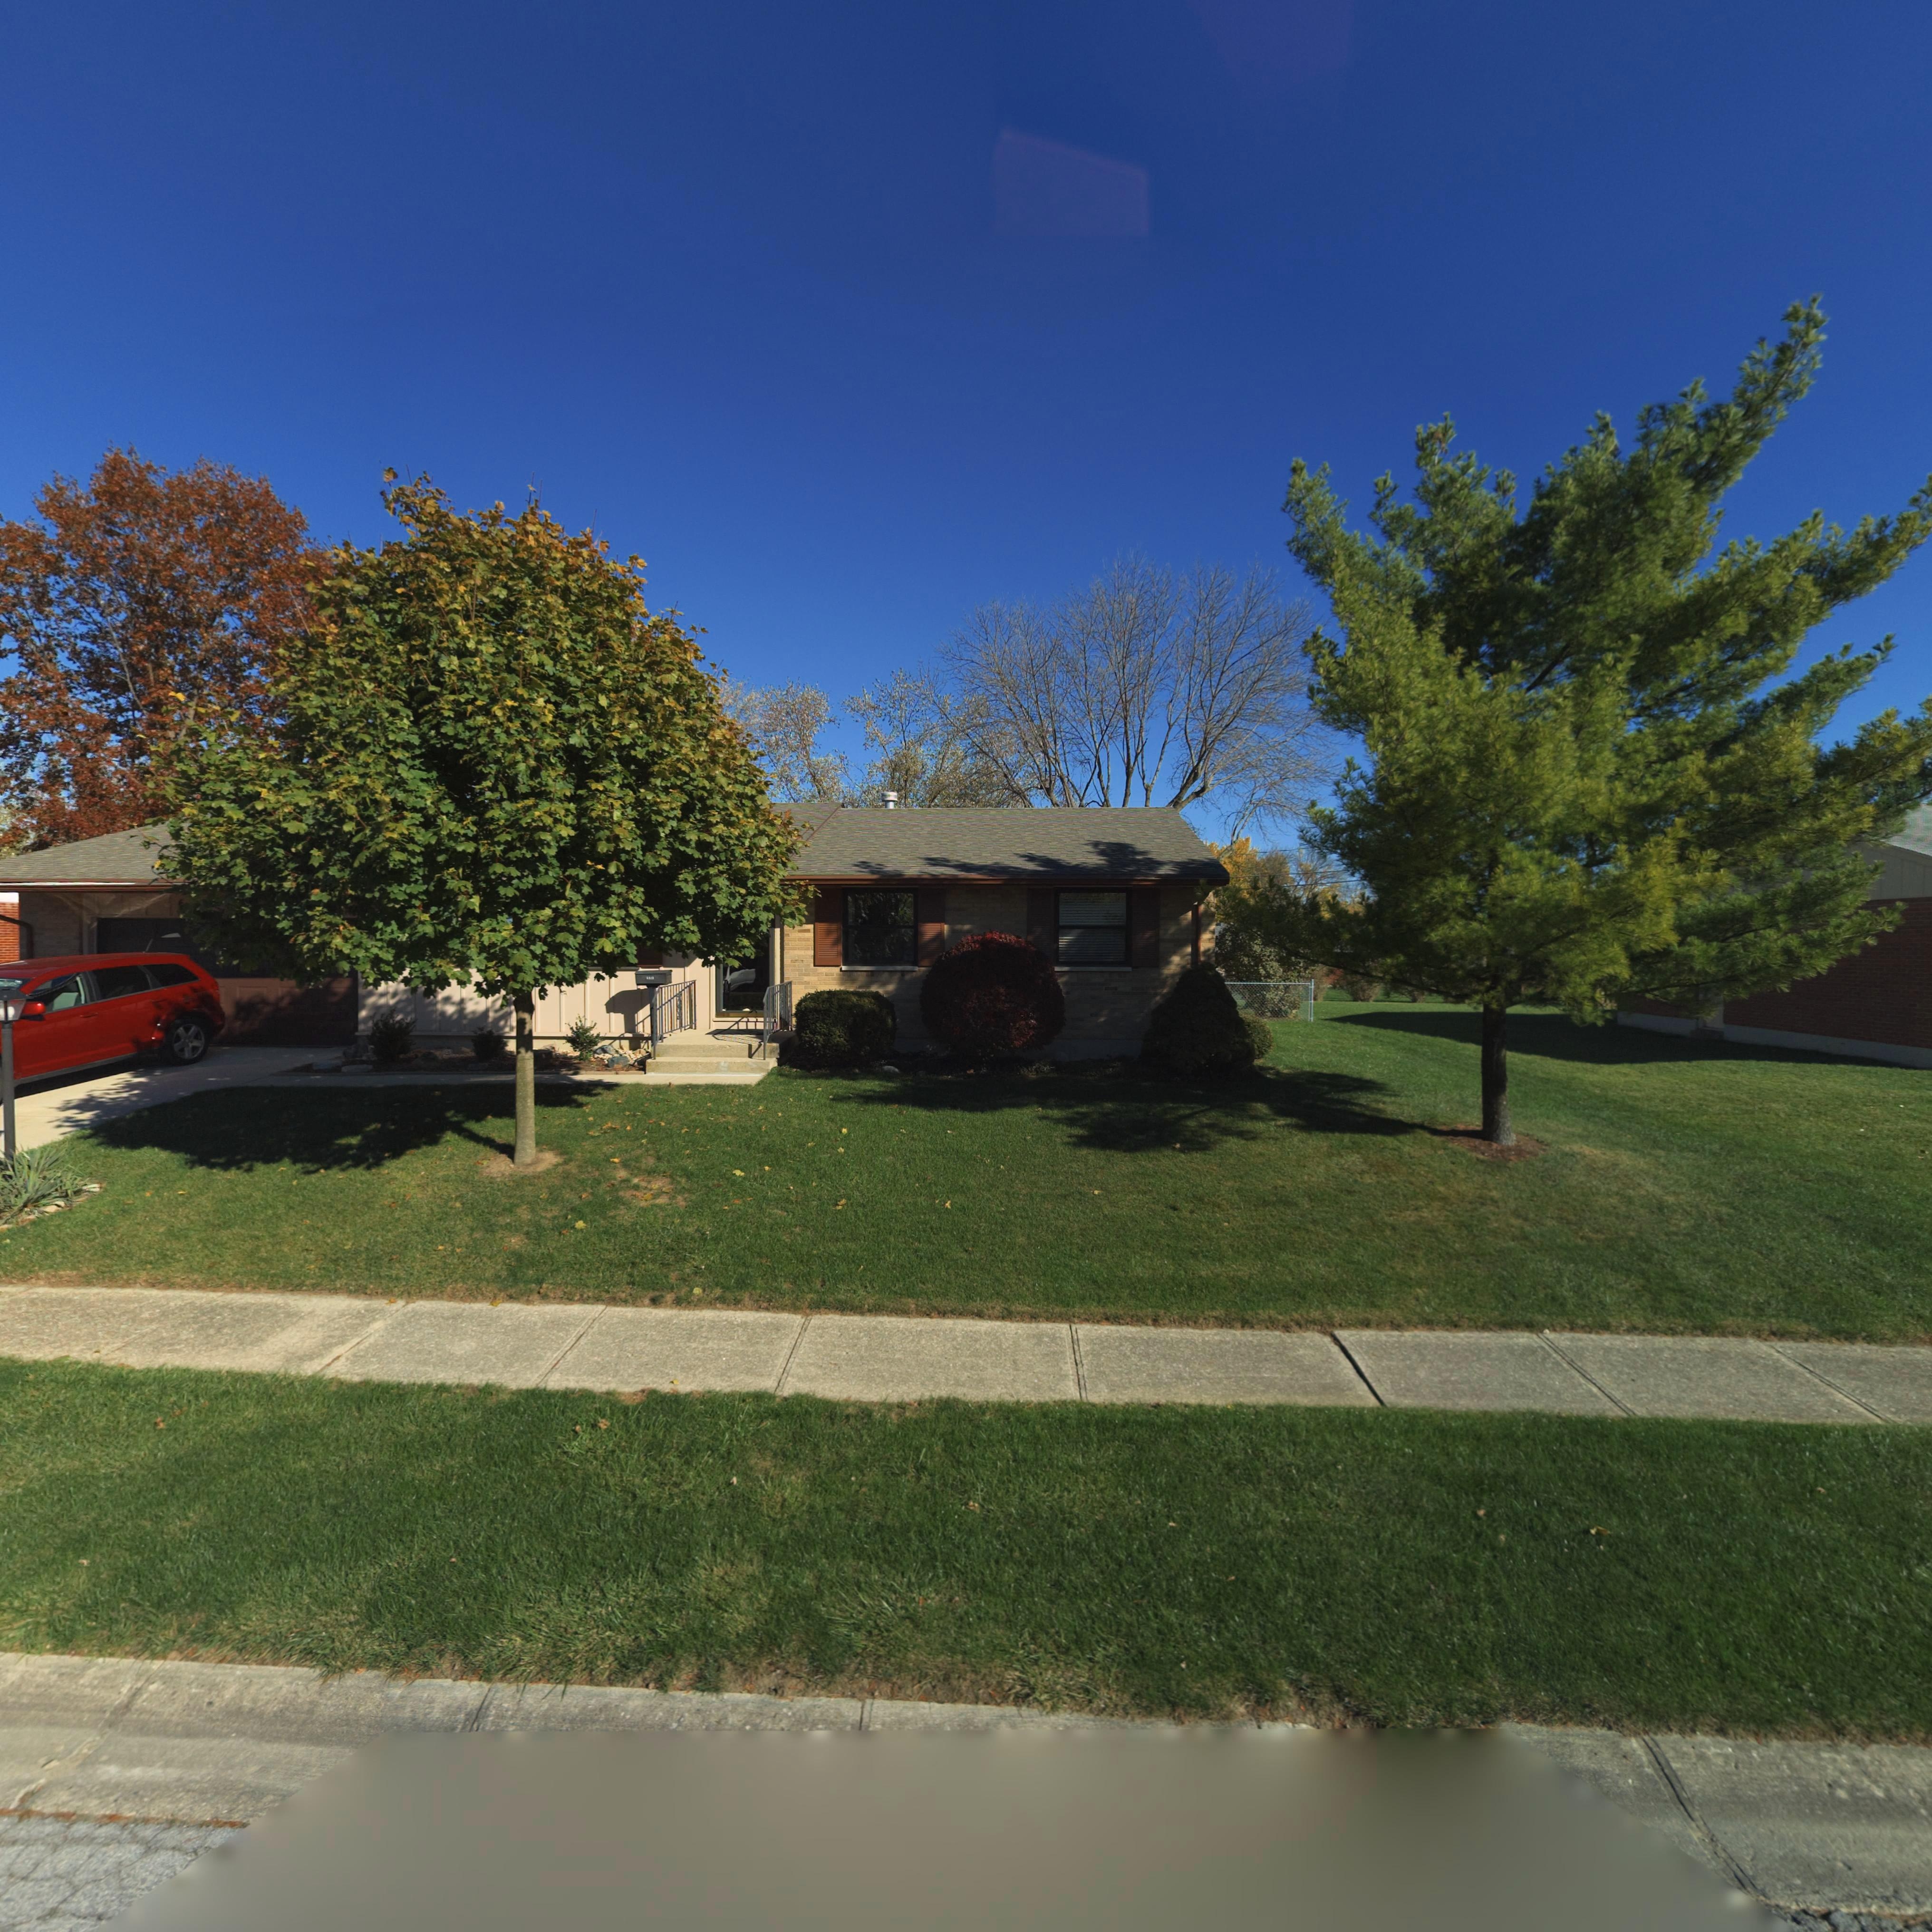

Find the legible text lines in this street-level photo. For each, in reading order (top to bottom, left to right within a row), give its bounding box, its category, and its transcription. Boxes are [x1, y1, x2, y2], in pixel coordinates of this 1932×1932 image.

[178, 898, 184, 907] StreetNumber: 6
[646, 976, 654, 980] StreetNumber: 6***